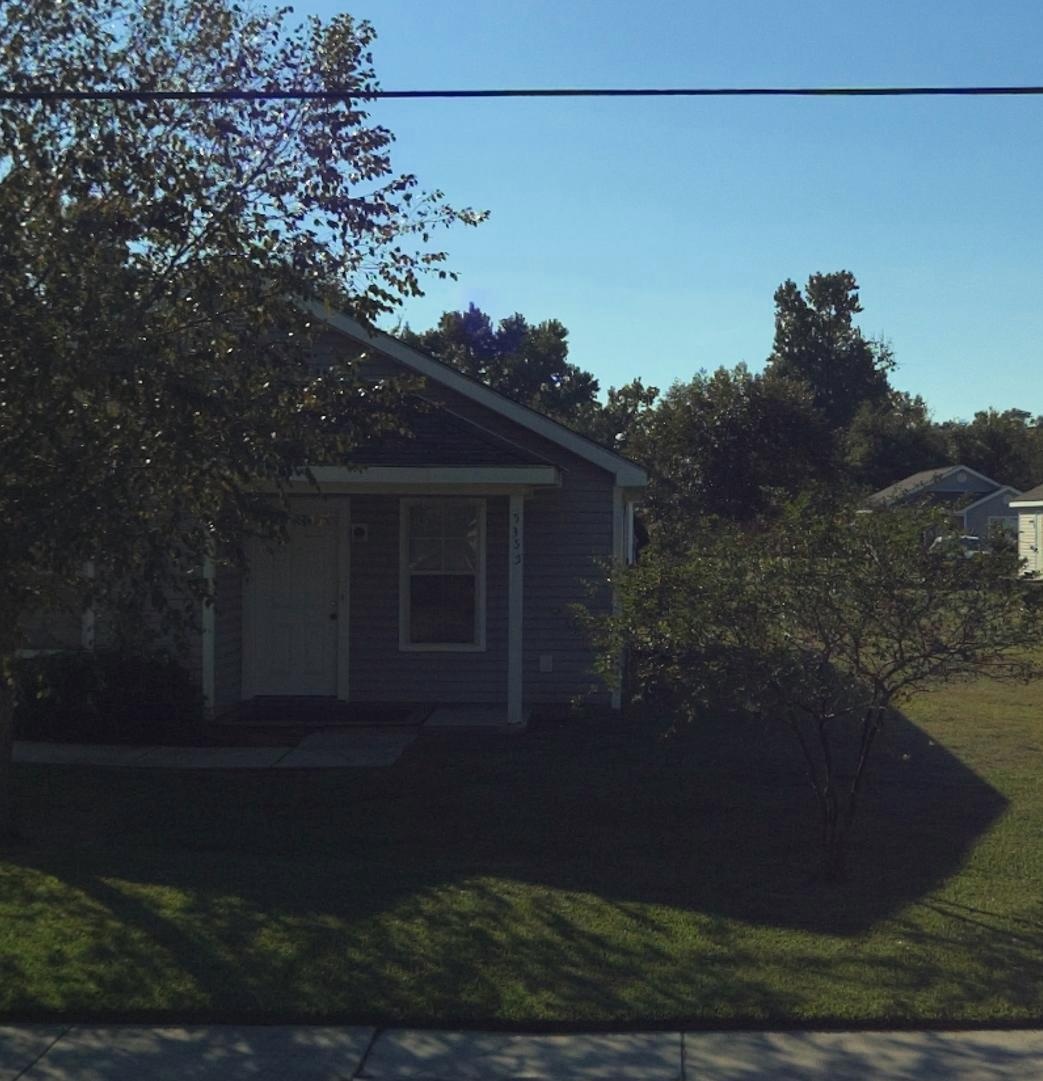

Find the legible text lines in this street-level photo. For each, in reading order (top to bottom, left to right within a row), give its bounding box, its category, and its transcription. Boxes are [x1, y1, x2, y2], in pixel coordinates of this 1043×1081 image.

[510, 511, 522, 566] StreetNumber: 5355